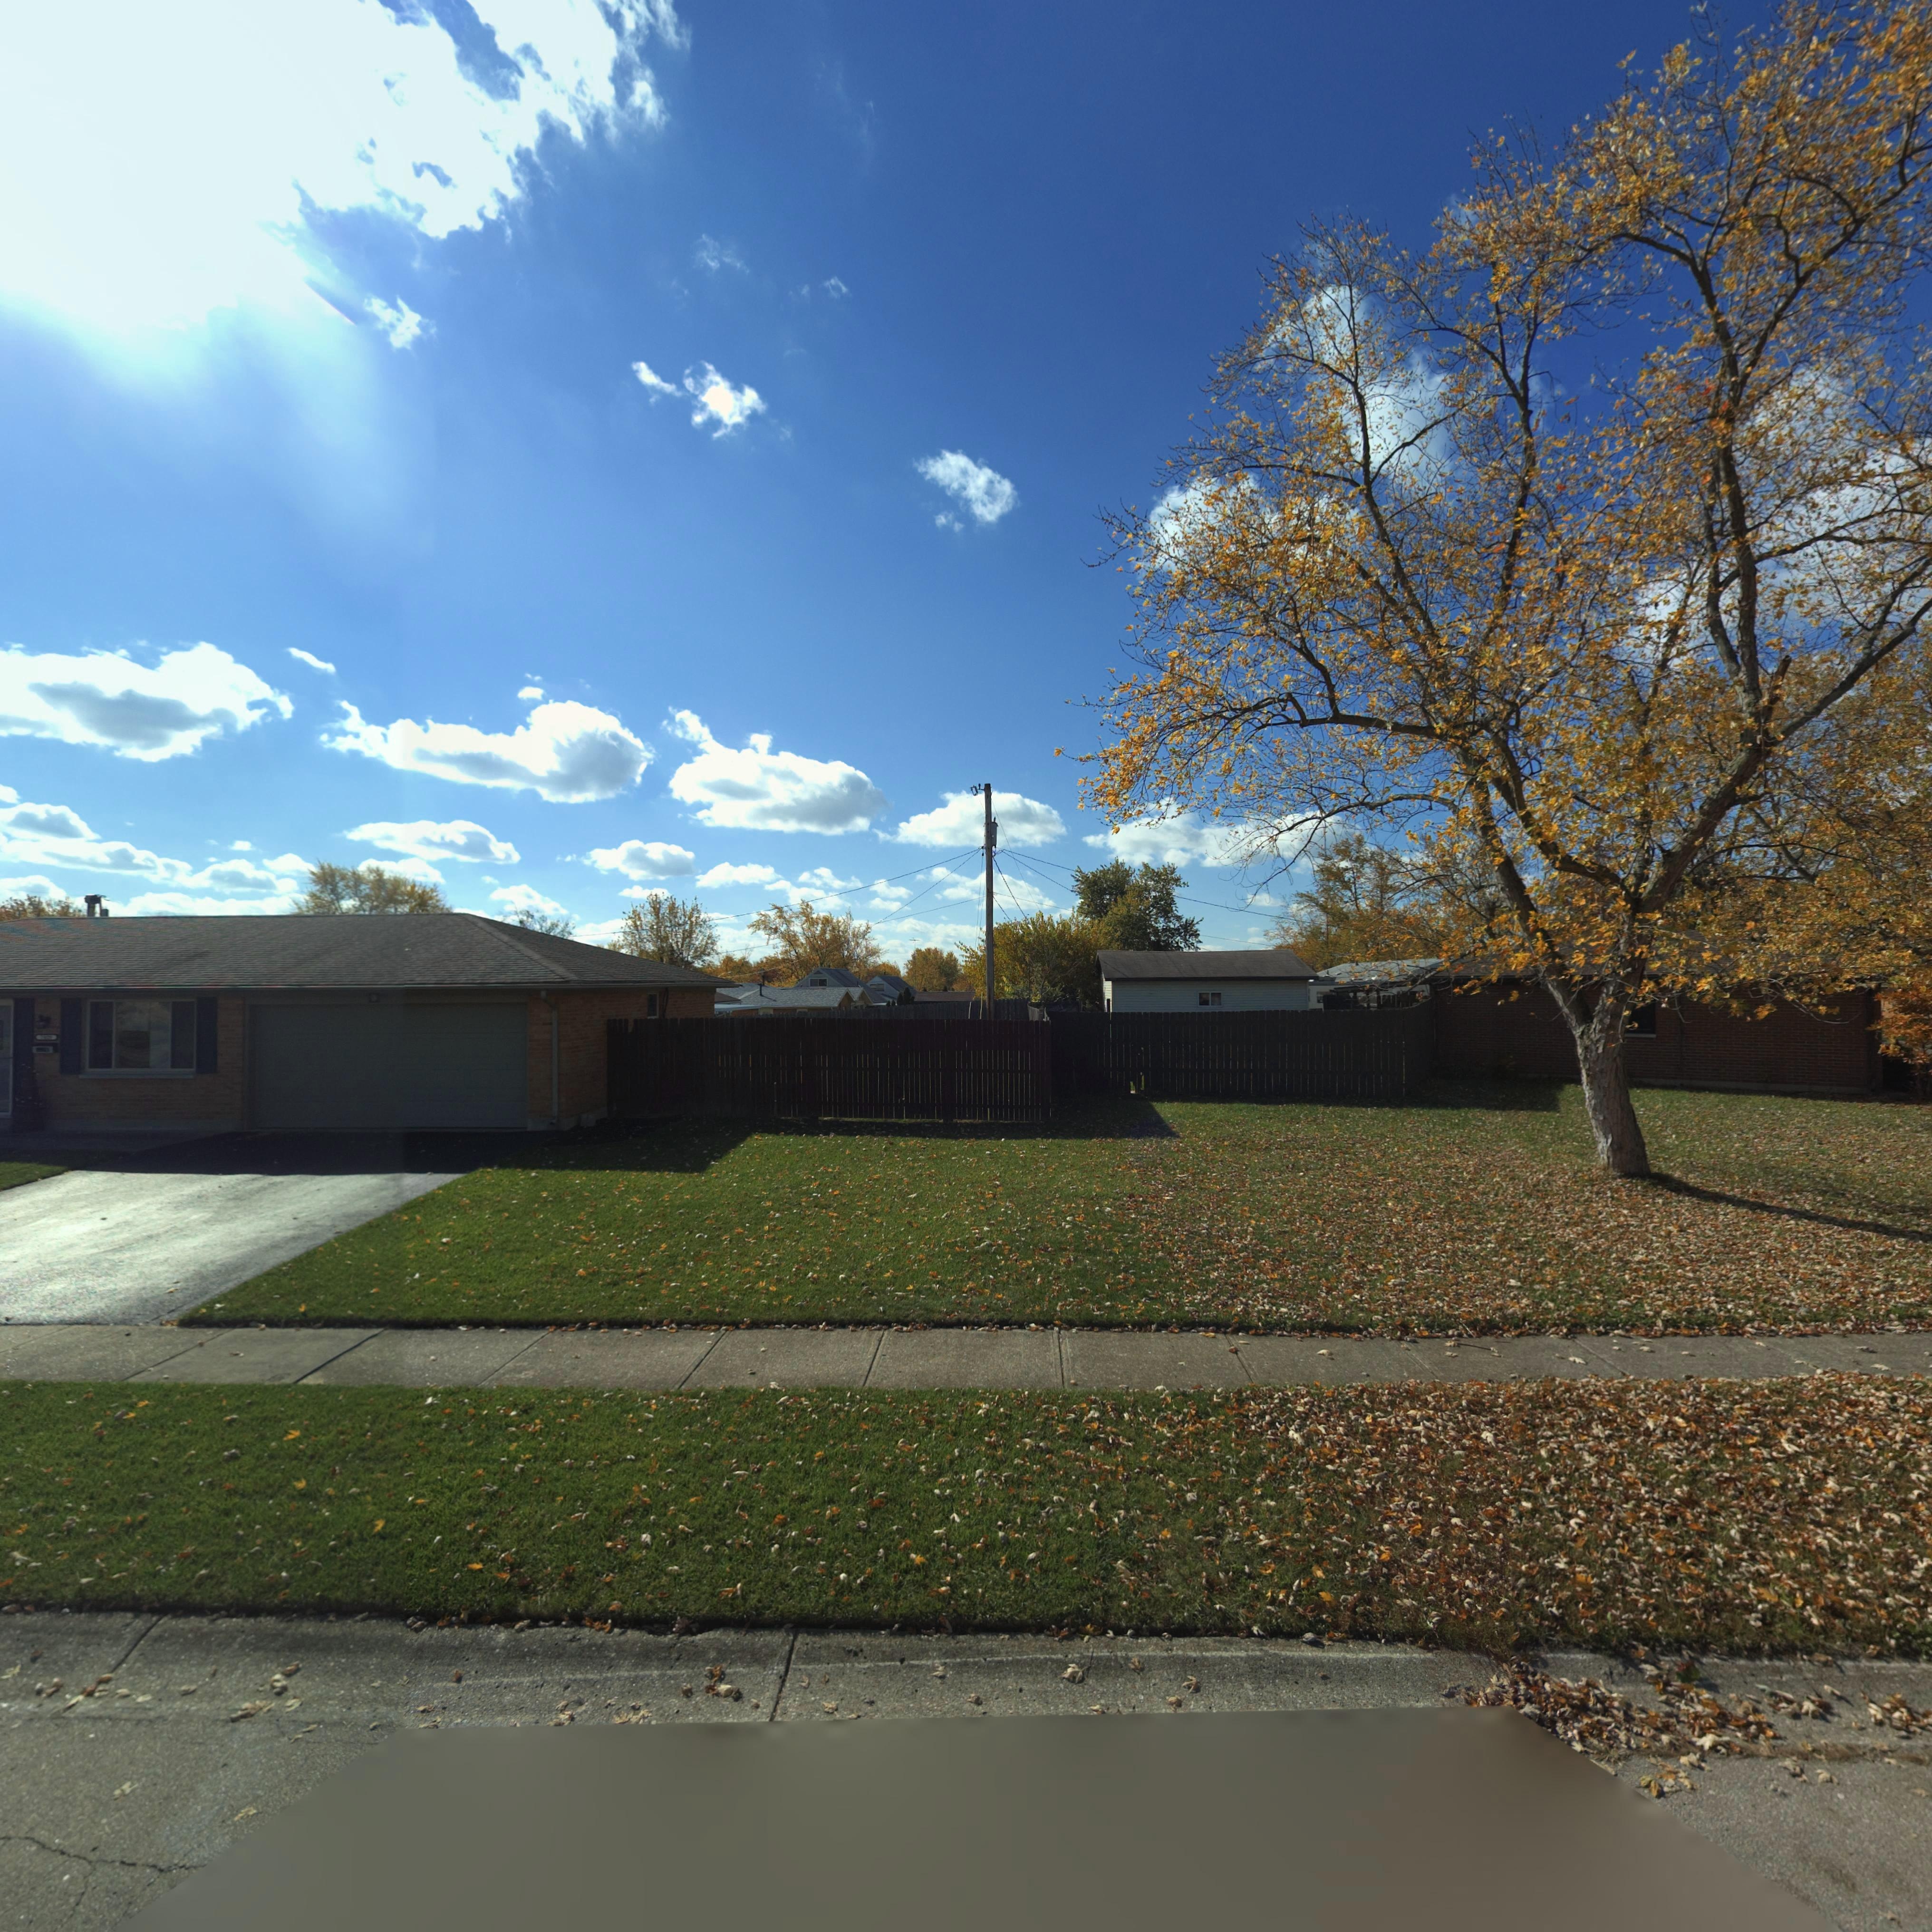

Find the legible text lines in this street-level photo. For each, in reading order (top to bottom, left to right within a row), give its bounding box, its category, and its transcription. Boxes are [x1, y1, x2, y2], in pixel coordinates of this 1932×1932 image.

[39, 1034, 52, 1040] StreetNumber: 78**